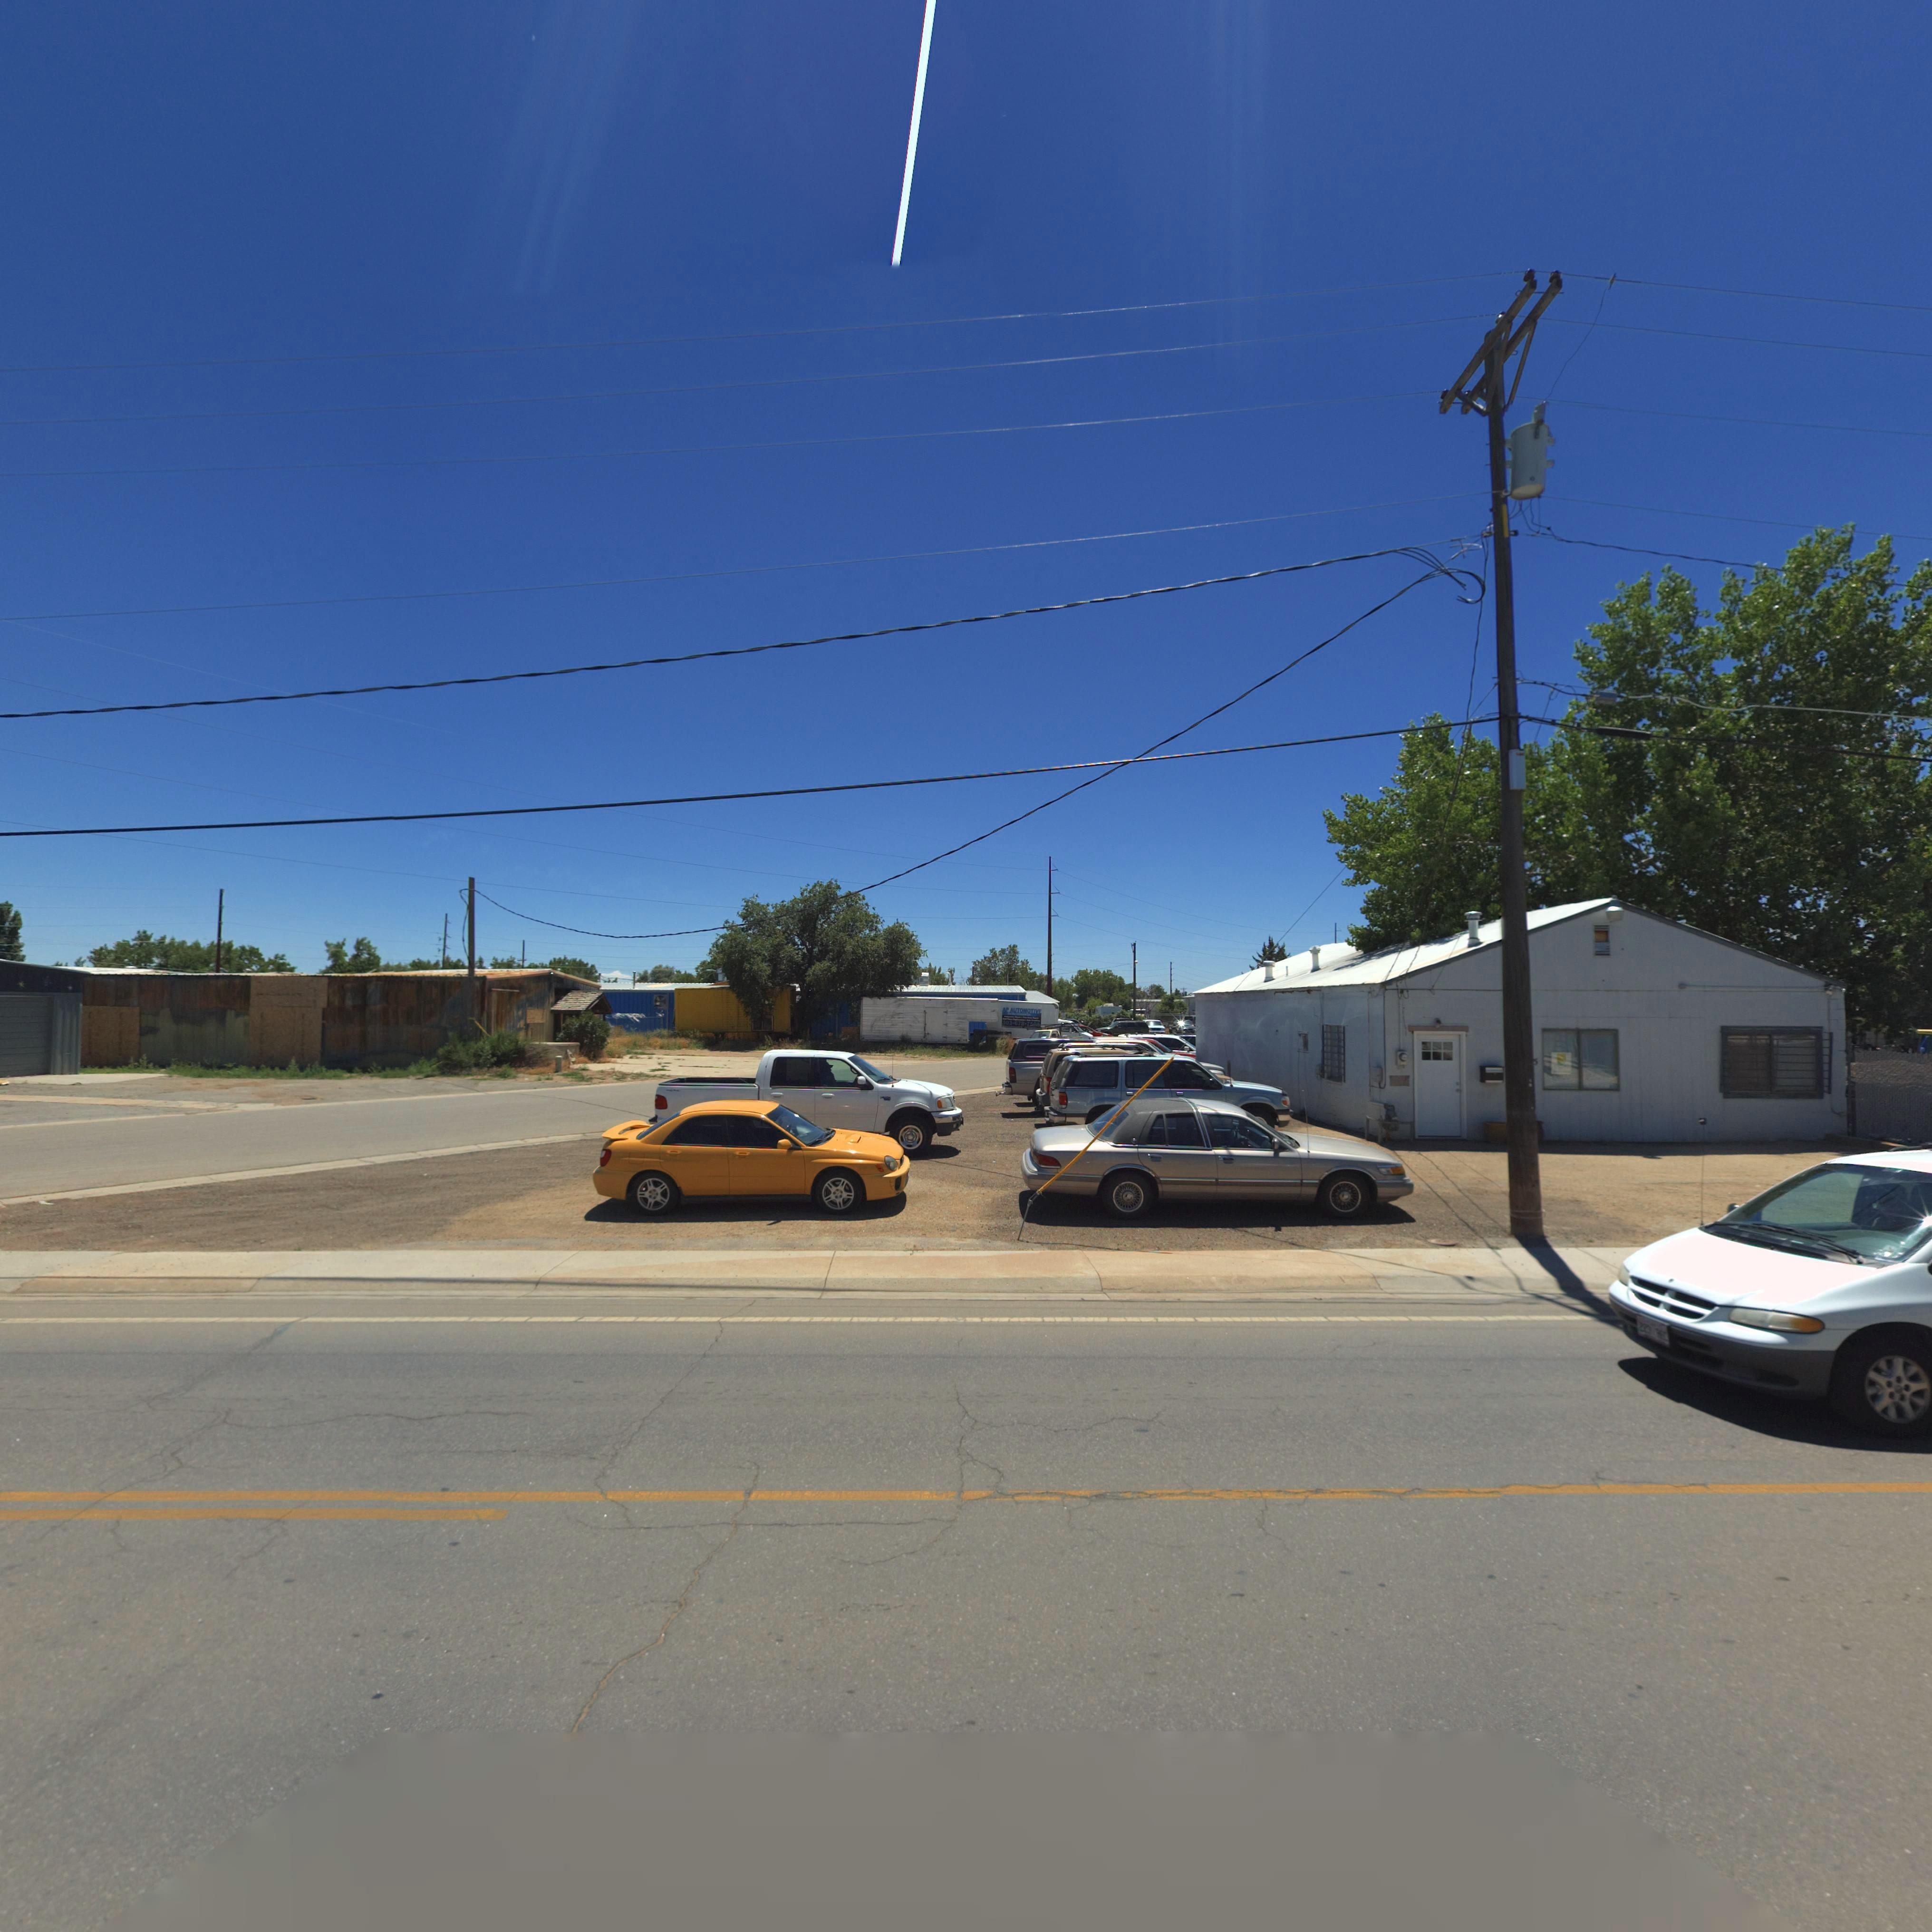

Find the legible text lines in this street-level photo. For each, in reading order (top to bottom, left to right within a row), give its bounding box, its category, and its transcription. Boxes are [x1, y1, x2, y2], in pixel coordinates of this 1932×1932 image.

[1002, 1007, 1042, 1014] BusinessName: AP AUTOMOTIVE